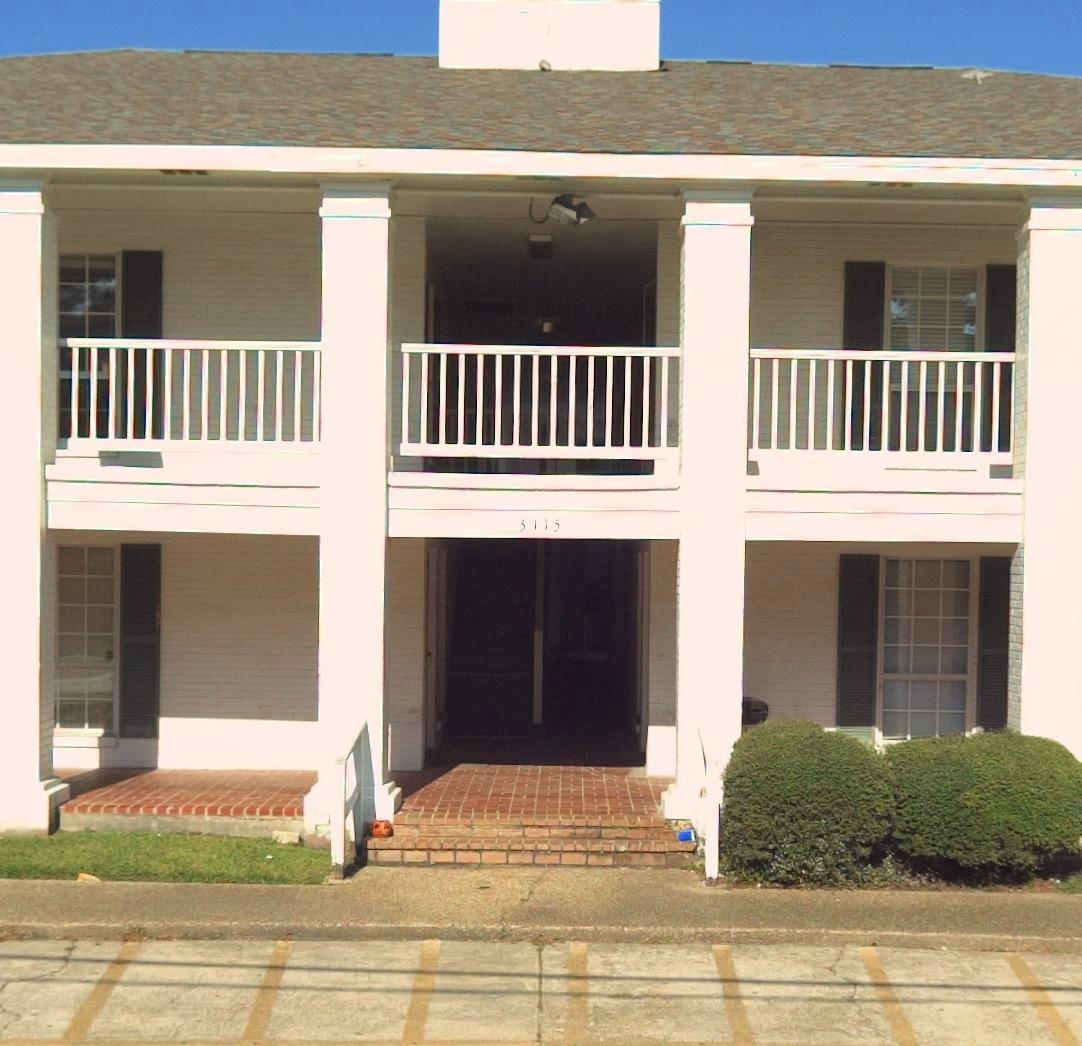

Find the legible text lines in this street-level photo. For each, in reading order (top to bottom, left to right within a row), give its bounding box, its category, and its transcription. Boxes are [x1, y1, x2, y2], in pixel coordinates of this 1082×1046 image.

[518, 515, 562, 535] StreetNumber: 5115